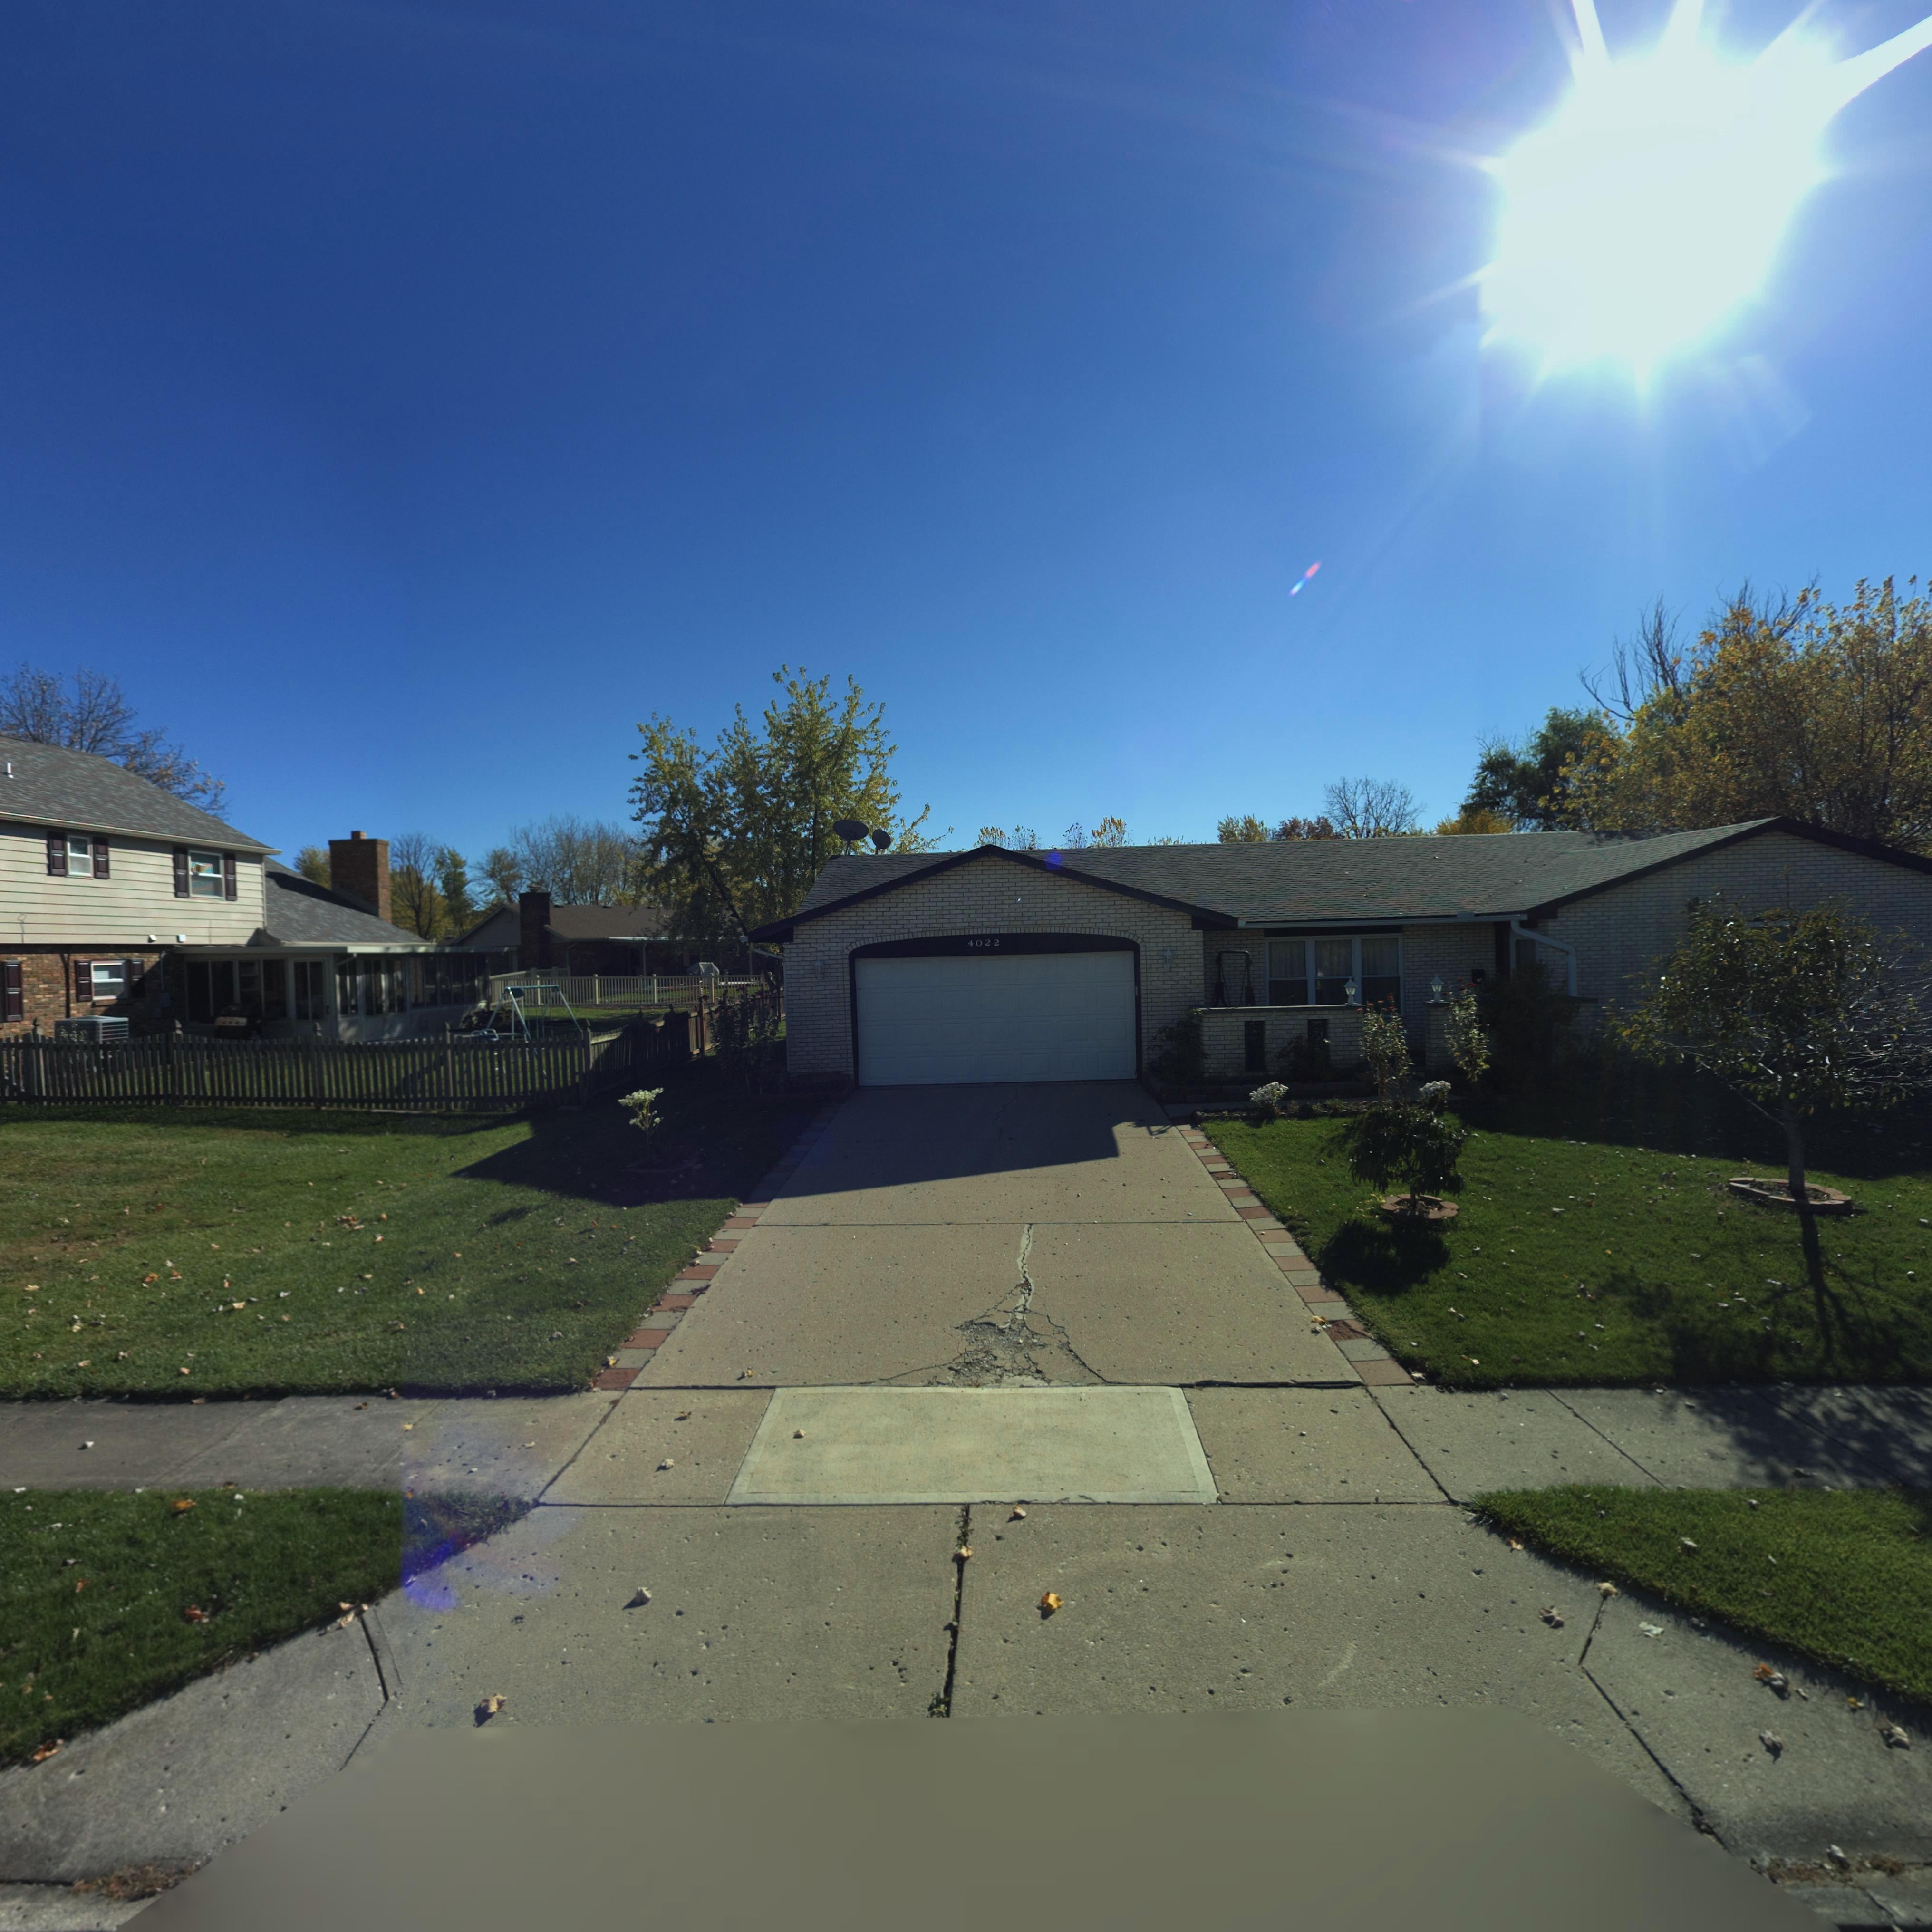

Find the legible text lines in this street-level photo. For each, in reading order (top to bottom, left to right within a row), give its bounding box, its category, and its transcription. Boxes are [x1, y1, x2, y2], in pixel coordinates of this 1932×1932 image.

[967, 938, 1000, 947] StreetNumber: 4022